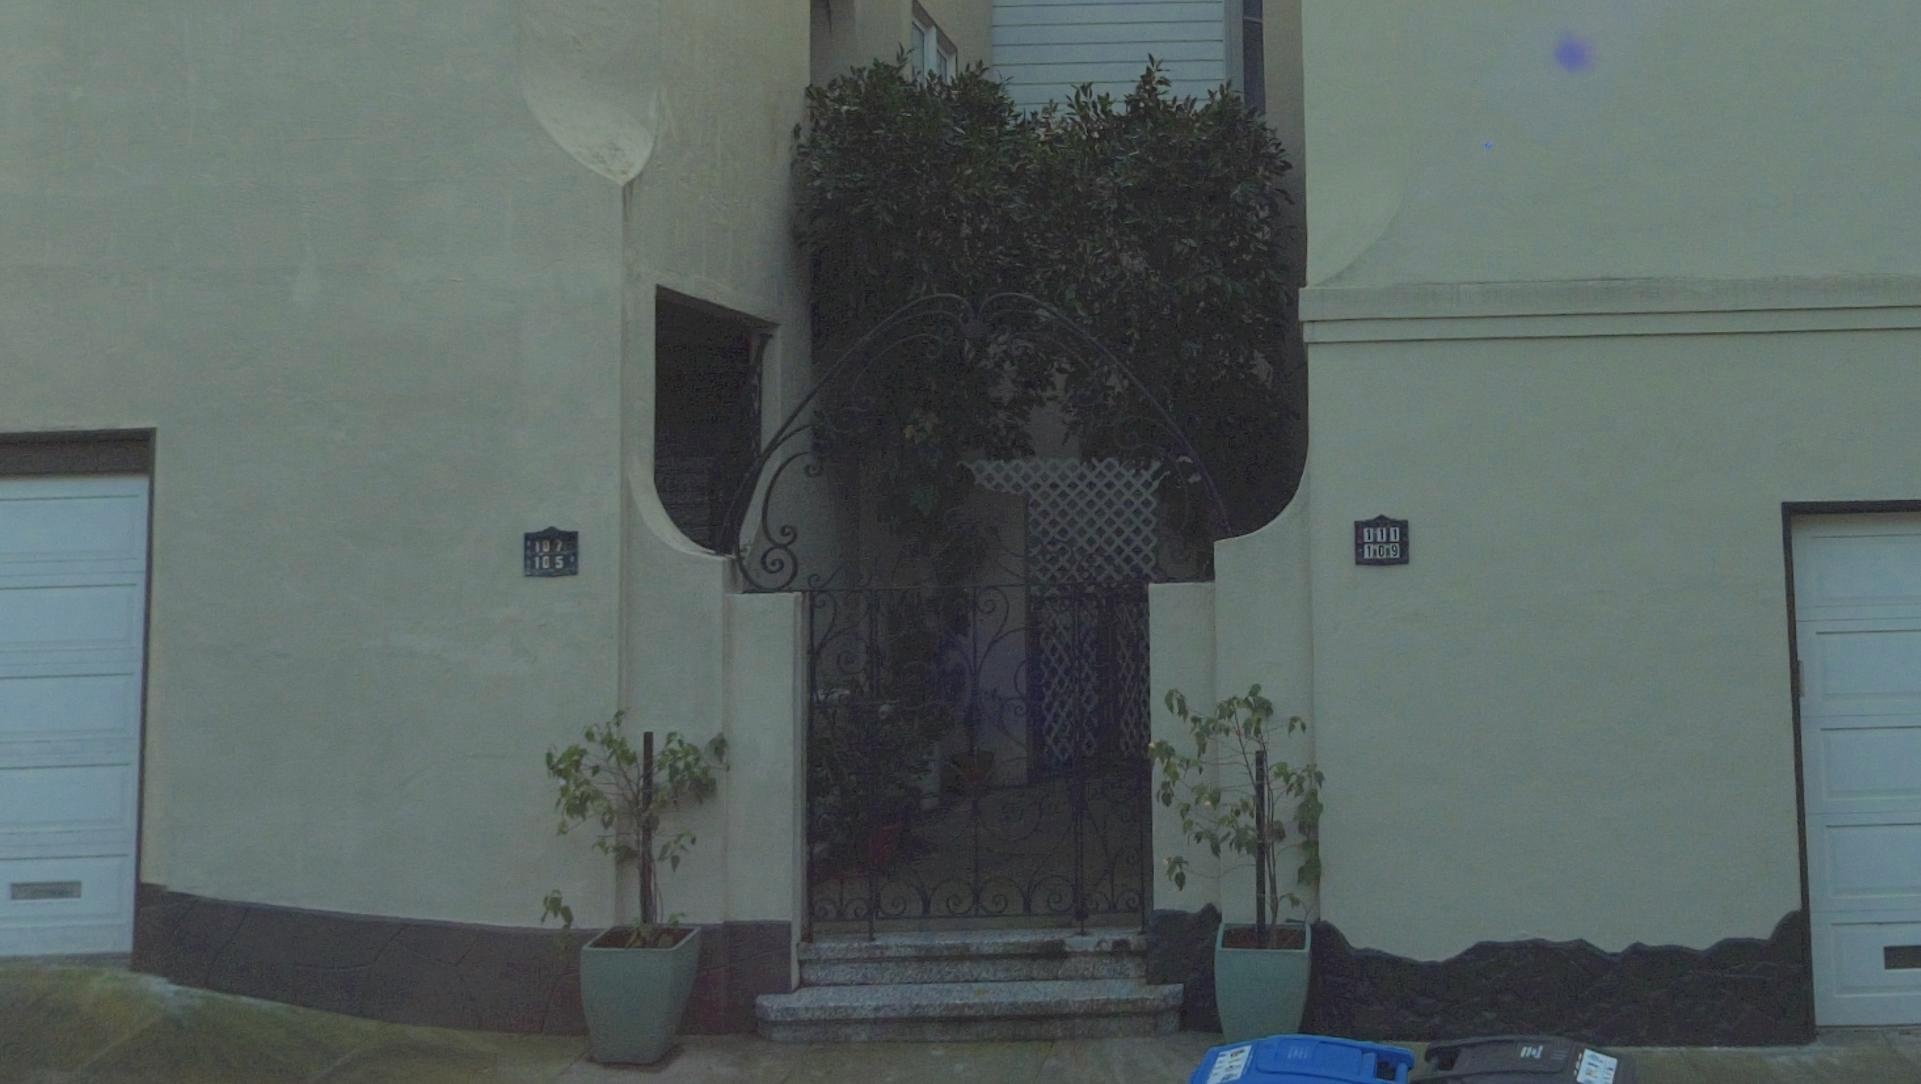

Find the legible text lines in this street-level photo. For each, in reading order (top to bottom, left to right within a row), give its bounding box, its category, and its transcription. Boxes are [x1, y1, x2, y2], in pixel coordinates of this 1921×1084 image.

[1365, 527, 1399, 541] StreetNumber: 111
[533, 539, 563, 553] StreetNumber: 107
[1366, 544, 1399, 558] StreetNumber: 109
[533, 555, 566, 569] StreetNumber: 105